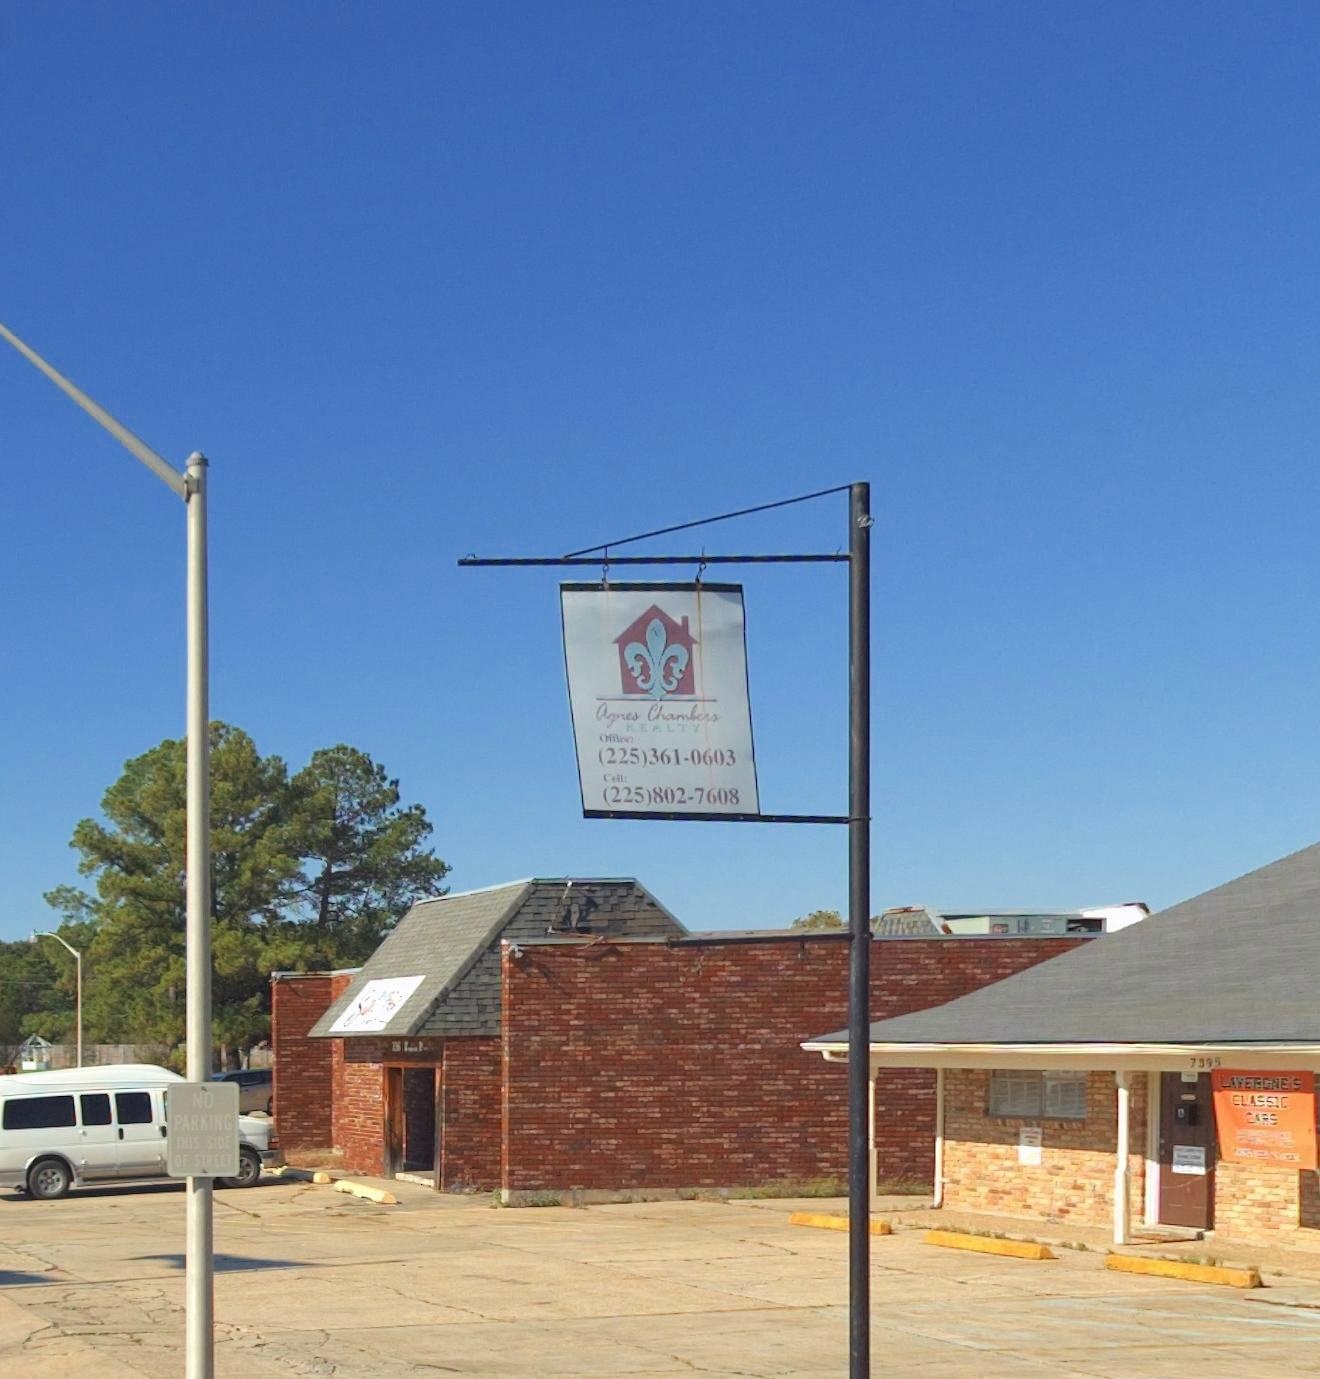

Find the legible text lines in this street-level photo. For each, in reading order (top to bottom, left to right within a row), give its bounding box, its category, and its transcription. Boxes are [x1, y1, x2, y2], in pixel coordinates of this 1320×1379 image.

[592, 699, 720, 730] BusinessName: Agnes Chambers
[594, 729, 637, 747] None: Off*c*
[623, 720, 704, 736] BusinessName: REALTY
[594, 742, 740, 771] None: (225)361-0603
[599, 770, 629, 786] None: Cell:
[598, 783, 743, 810] None: (225)802-7608
[1187, 1054, 1223, 1072] StreetNumber: 73**
[1216, 1071, 1306, 1093] BusinessName: LAVER*NE'S
[190, 1088, 216, 1112] None: NO
[1230, 1093, 1291, 1111] BusinessName: CLASSIC
[172, 1111, 235, 1135] None: PARKING
[1241, 1109, 1281, 1128] BusinessName: C*RS
[173, 1133, 234, 1153] None: THIS SIDE
[173, 1151, 236, 1170] None: OF STREET